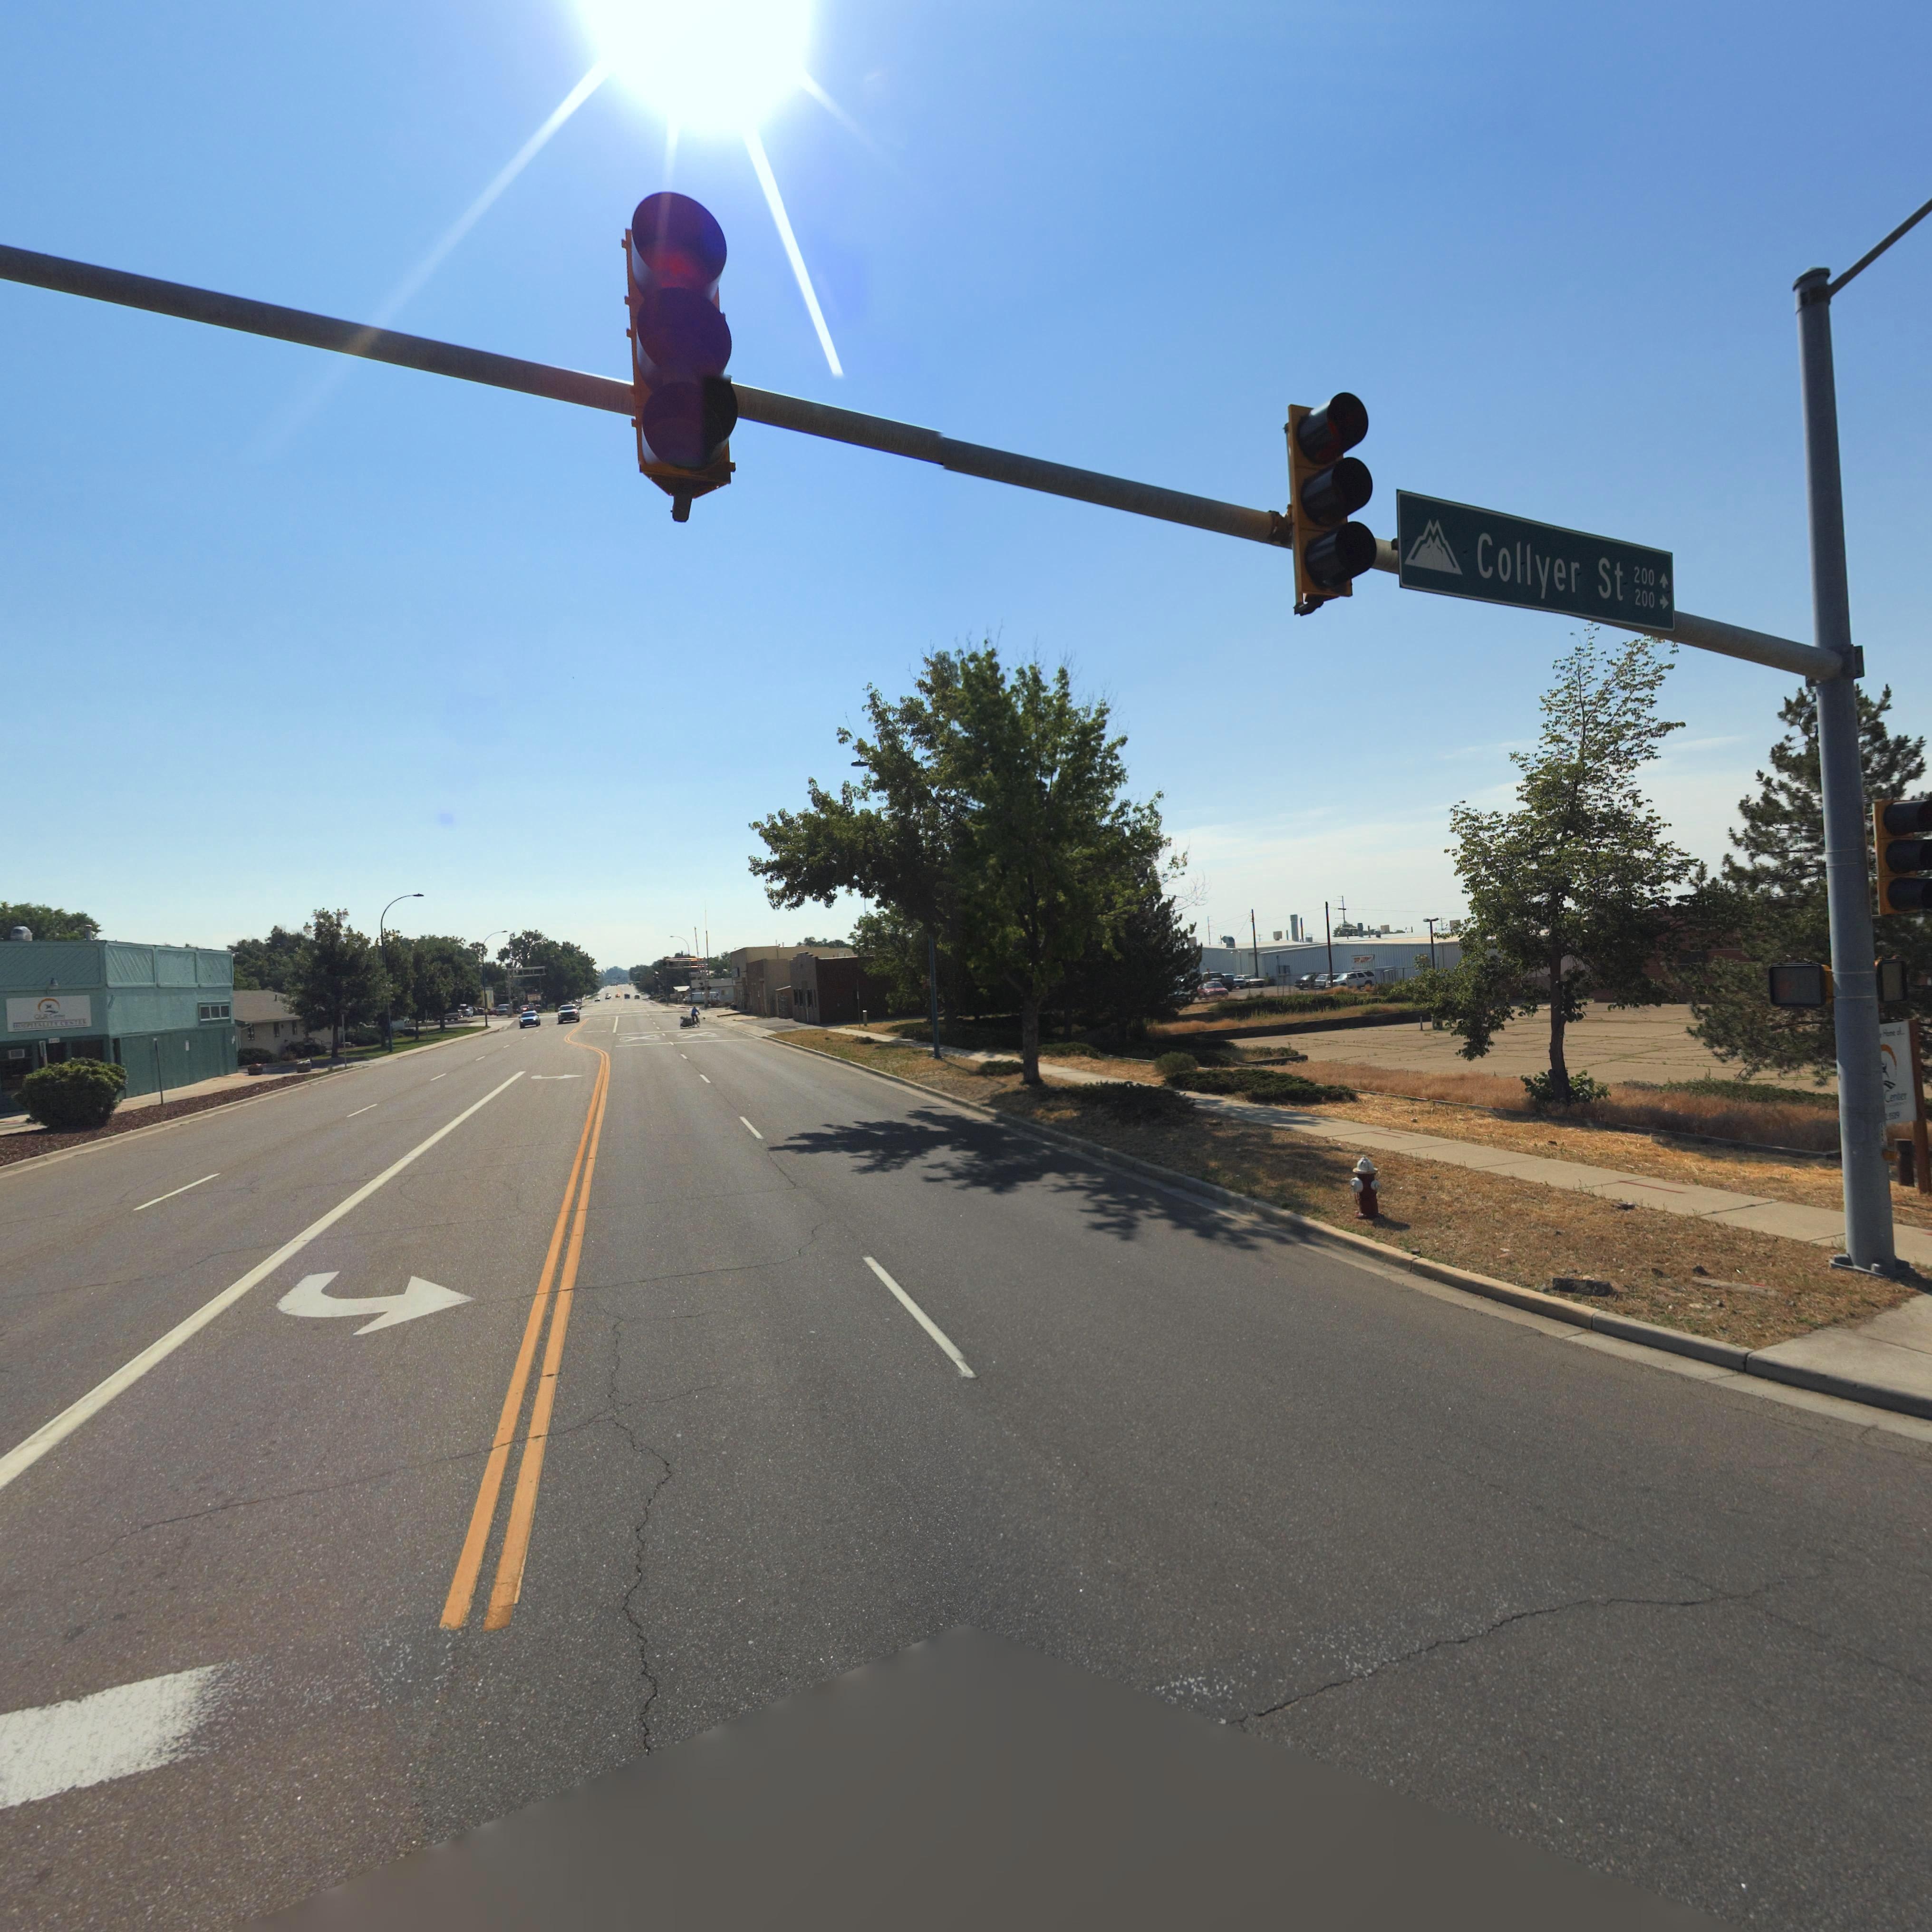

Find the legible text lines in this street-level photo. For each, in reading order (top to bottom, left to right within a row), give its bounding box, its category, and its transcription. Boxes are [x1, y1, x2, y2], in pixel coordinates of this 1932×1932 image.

[1476, 530, 1625, 602] StreetName: Collyer St
[1633, 565, 1655, 587] StreetNumberRange: 200
[1634, 588, 1670, 610] StreetNumberRange: 200->
[33, 1013, 66, 1020] BusinessName: OUR C*****
[1883, 1089, 1908, 1103] BusinessName: Center